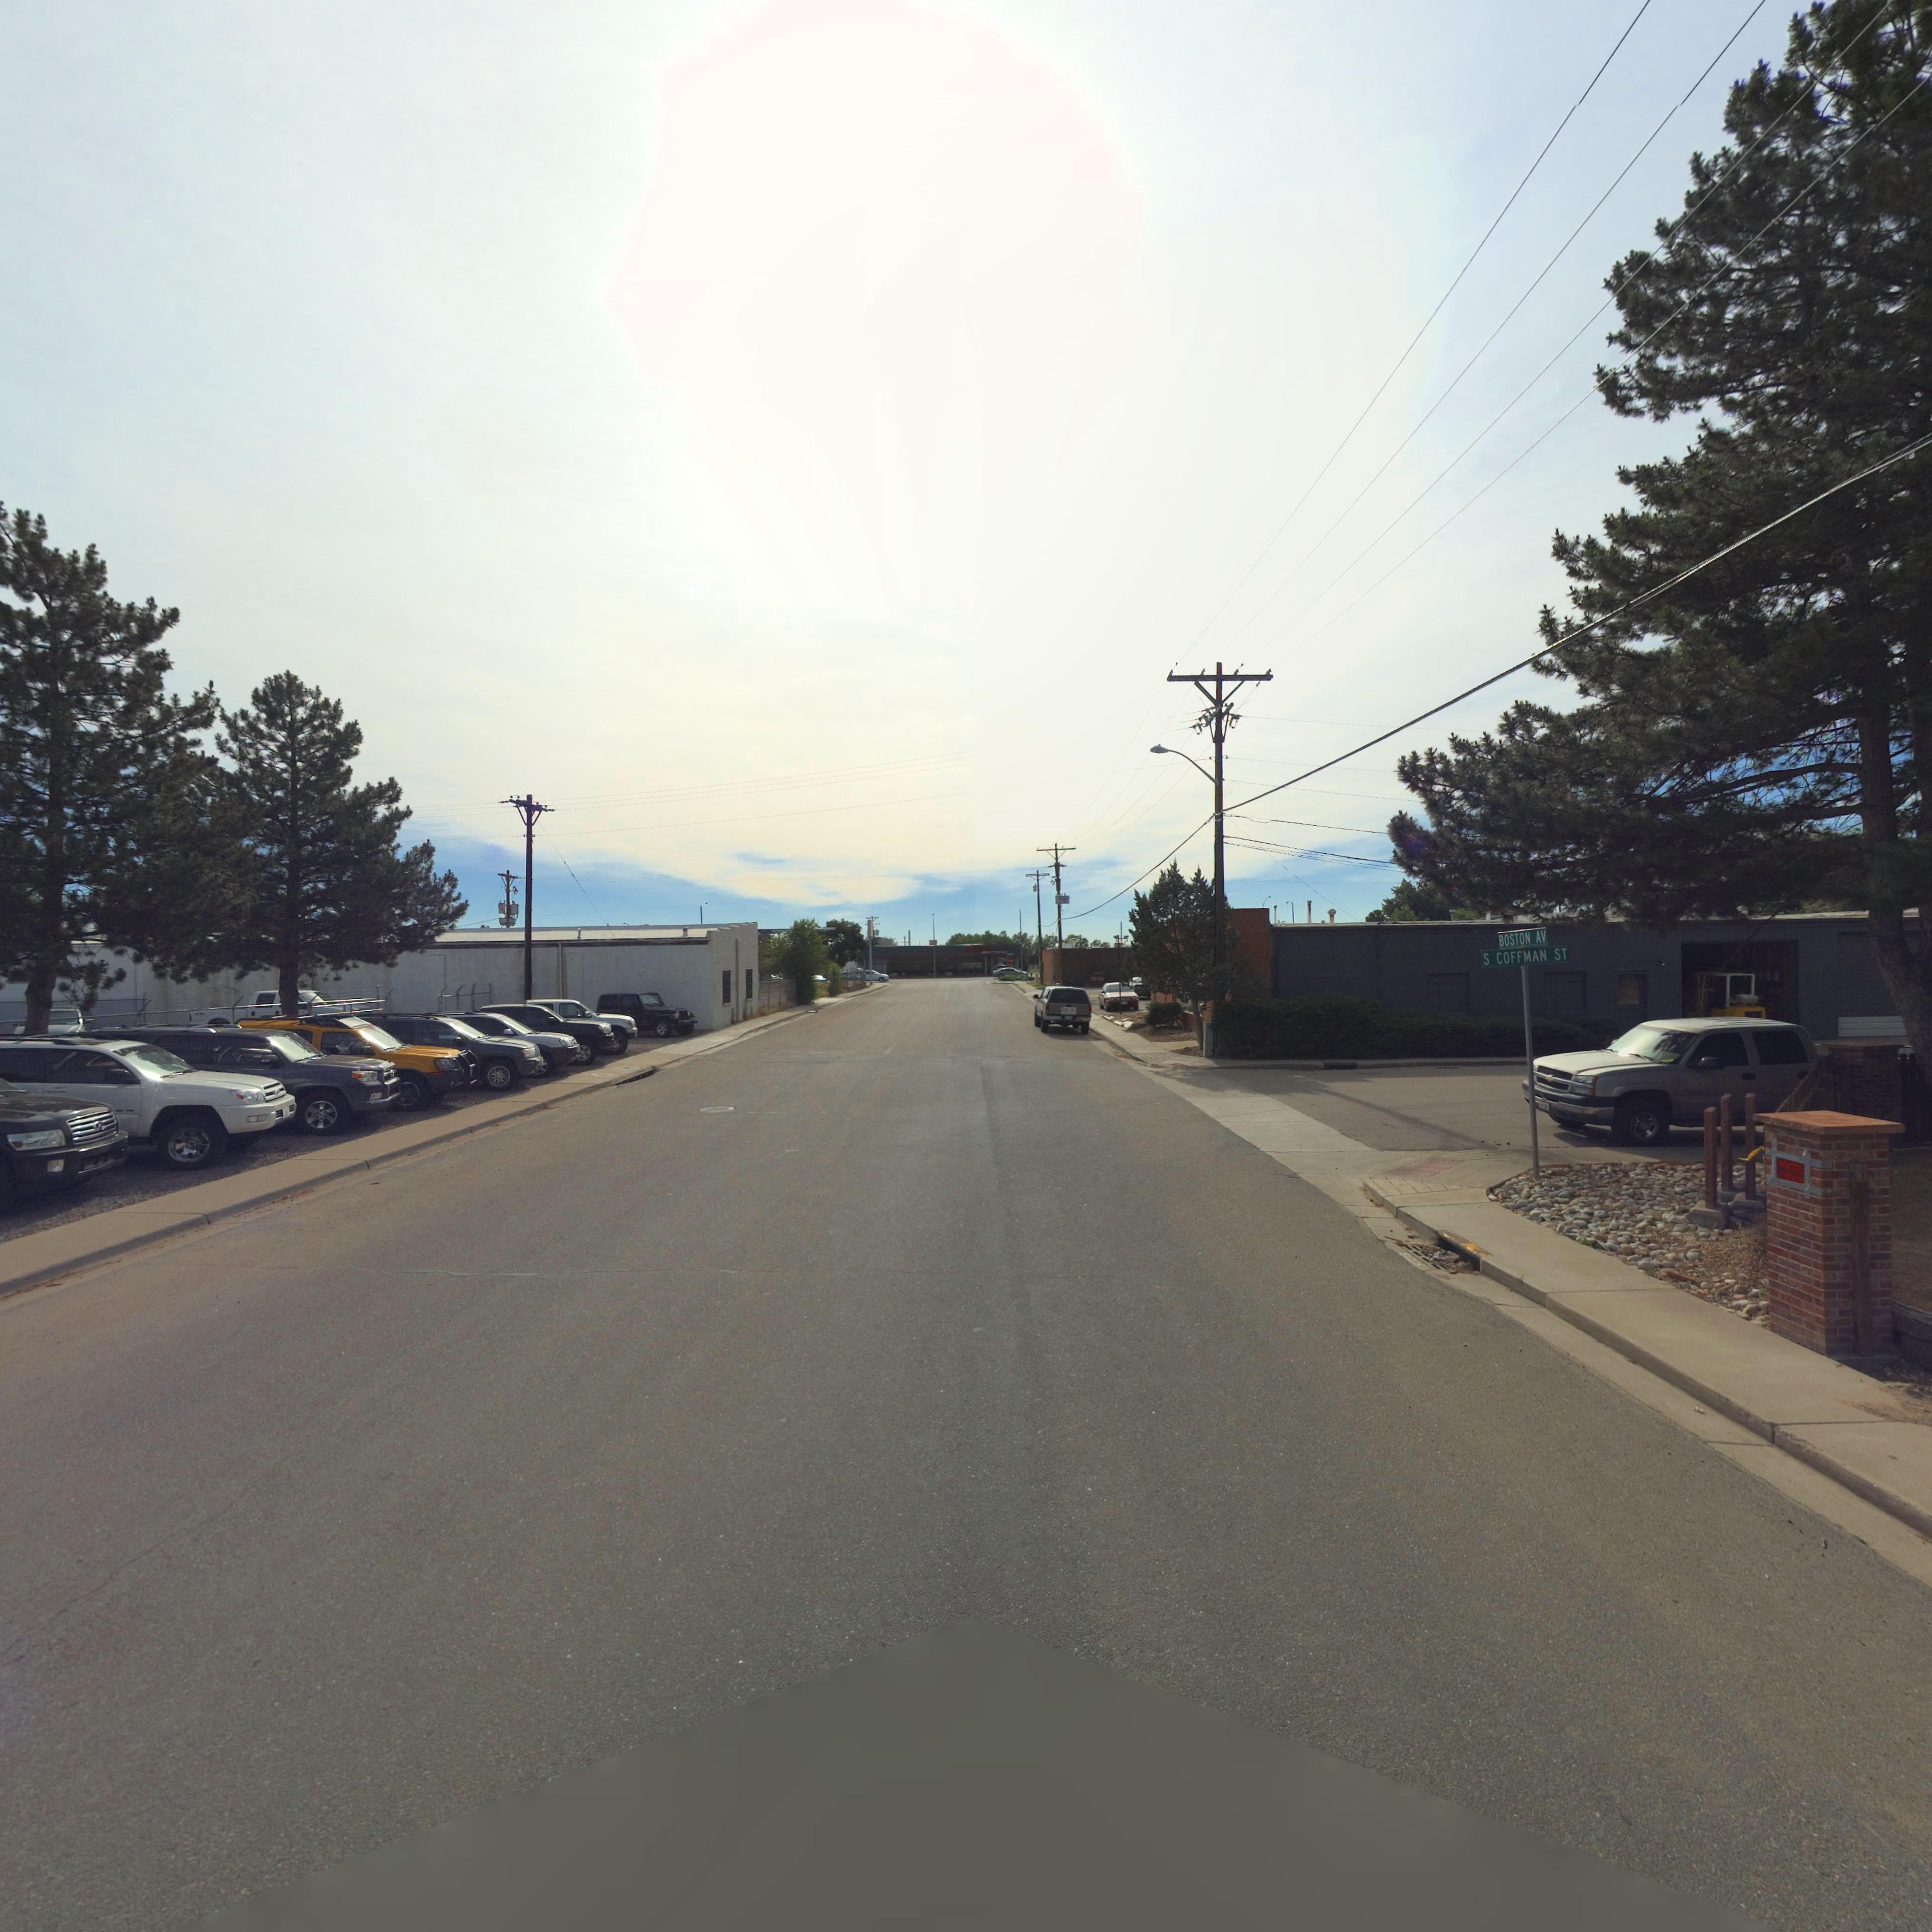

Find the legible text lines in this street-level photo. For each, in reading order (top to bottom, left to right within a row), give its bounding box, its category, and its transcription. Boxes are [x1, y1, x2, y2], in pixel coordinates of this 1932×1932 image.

[1498, 930, 1546, 947] StreetName: BOSTON AV
[1483, 947, 1567, 965] StreetName: S COFFMAN ST